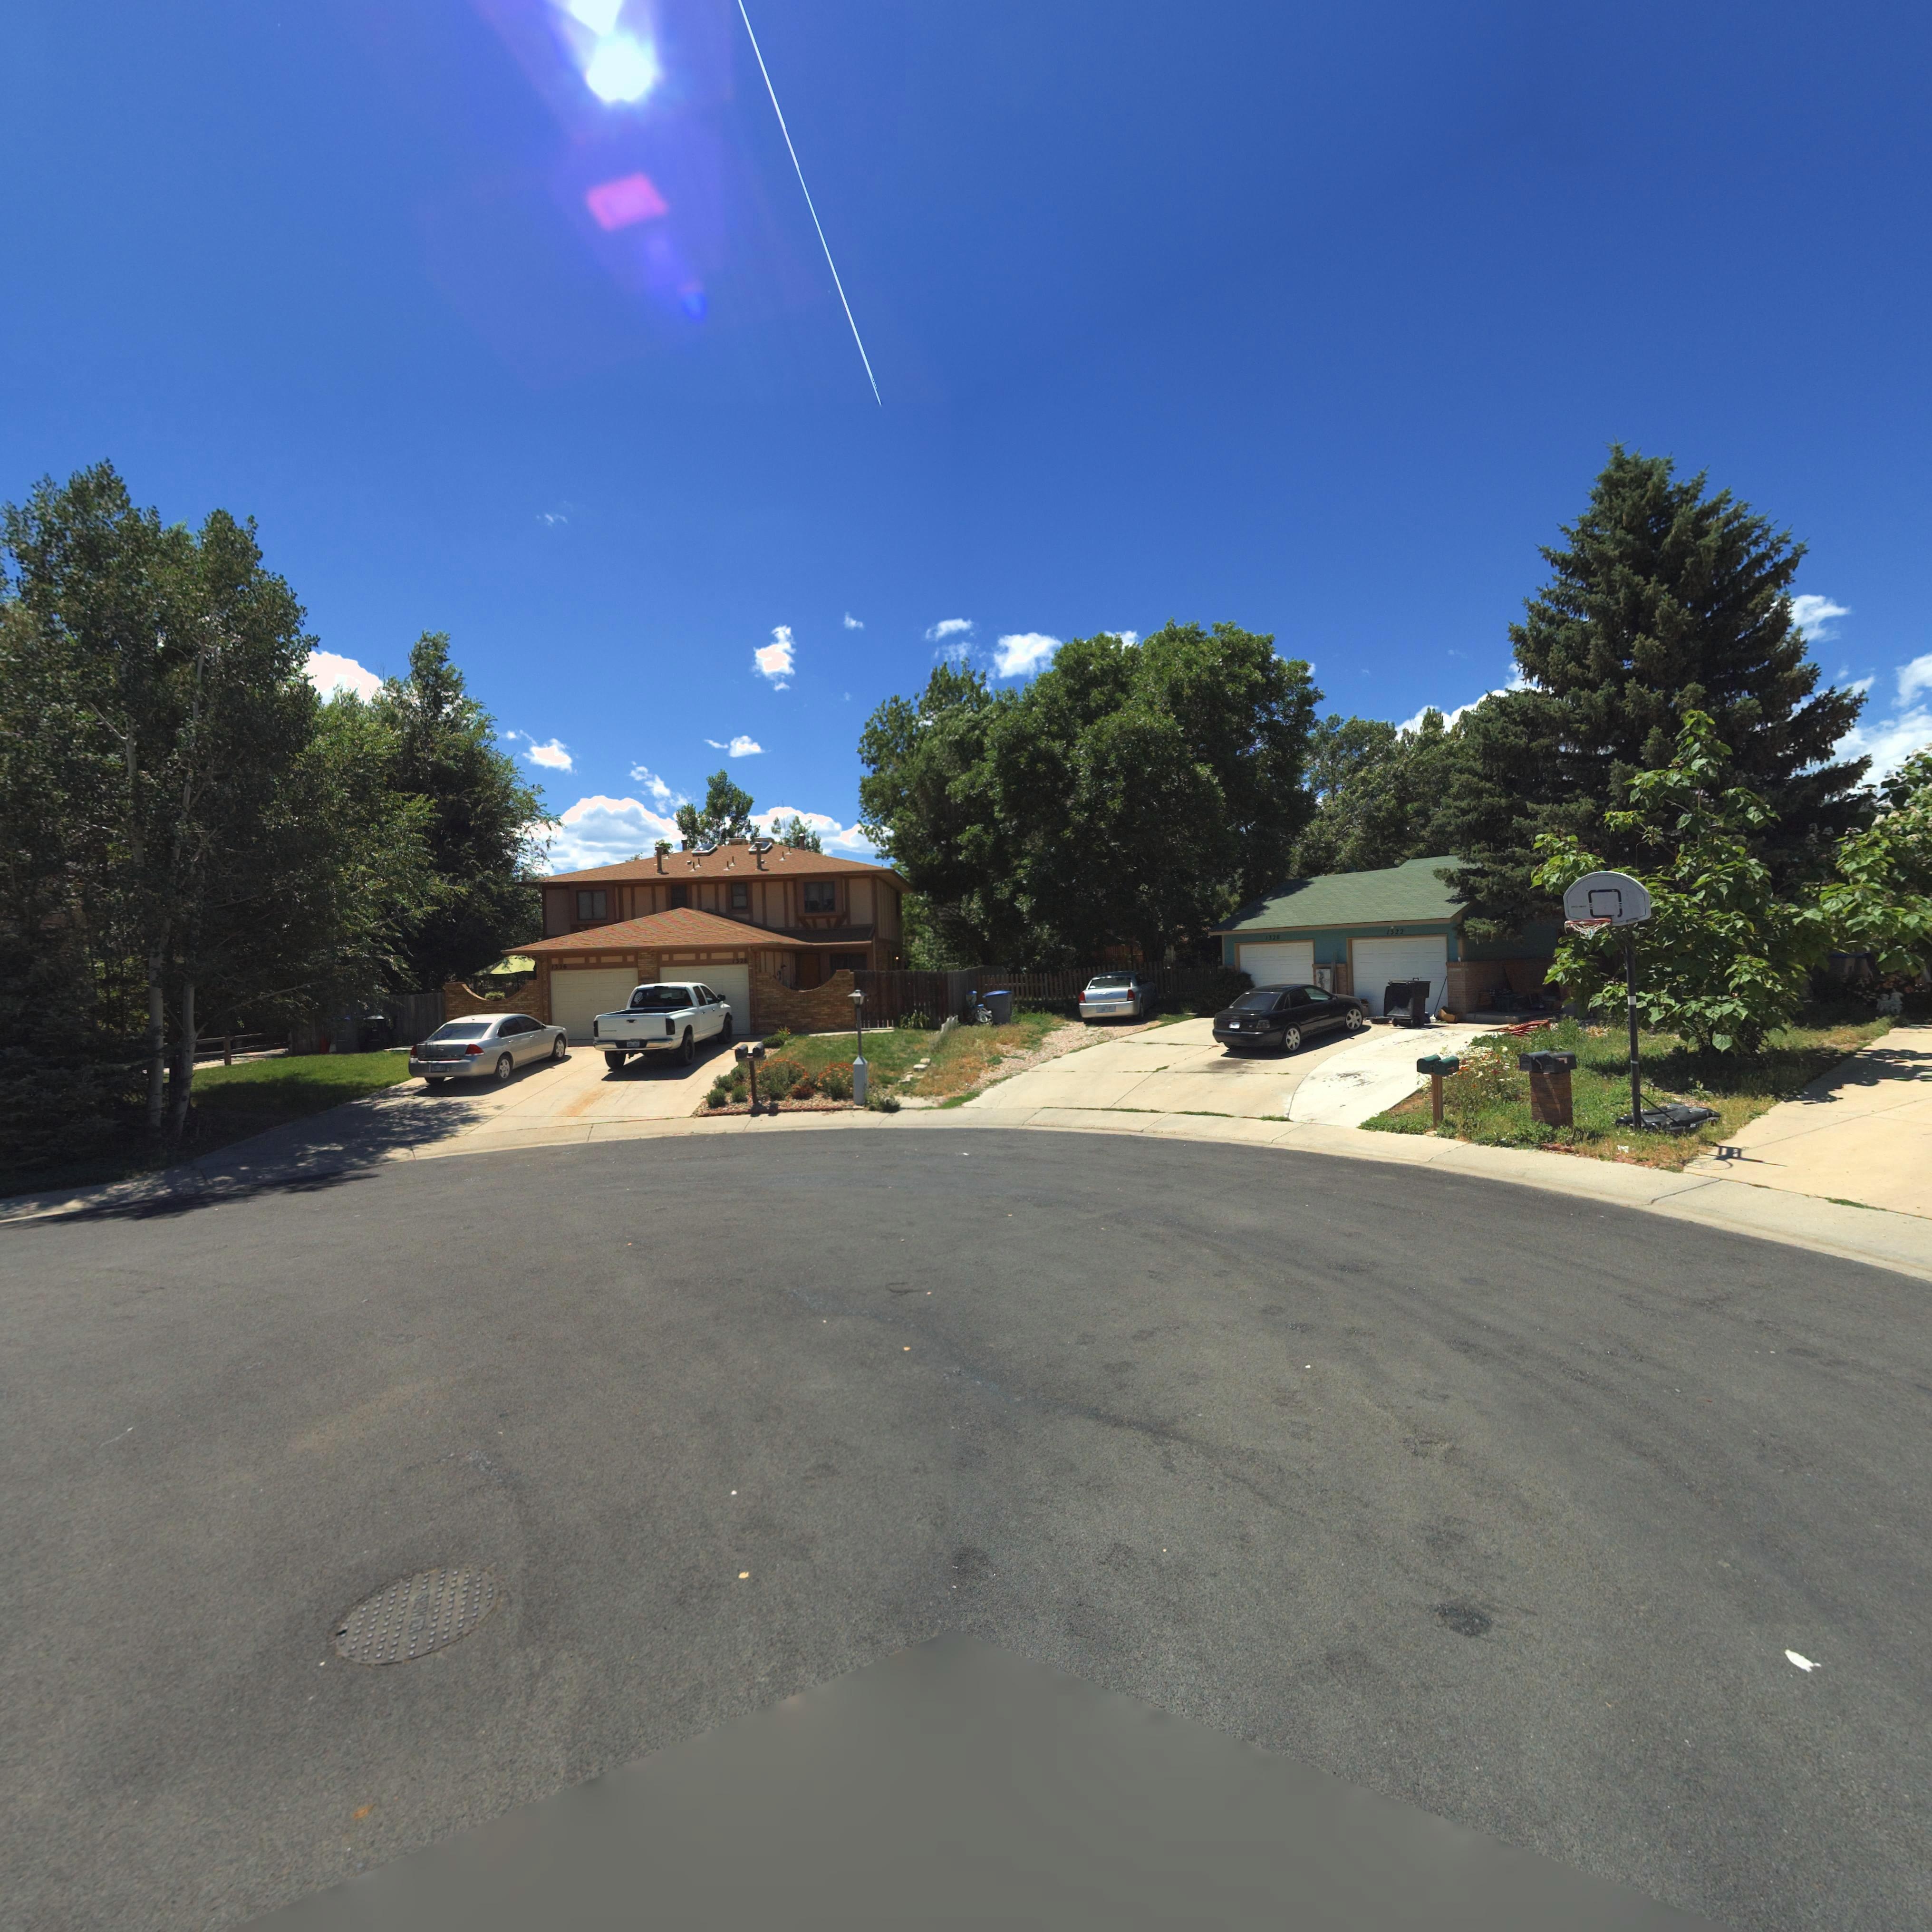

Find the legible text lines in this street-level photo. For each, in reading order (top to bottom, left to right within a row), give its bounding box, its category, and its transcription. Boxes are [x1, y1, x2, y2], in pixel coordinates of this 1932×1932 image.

[1386, 928, 1404, 935] StreetNumber: 1322
[1265, 934, 1280, 940] StreetNumber: 13**
[732, 957, 748, 964] StreetNumber: 1328
[551, 964, 567, 970] StreetNumber: 1326